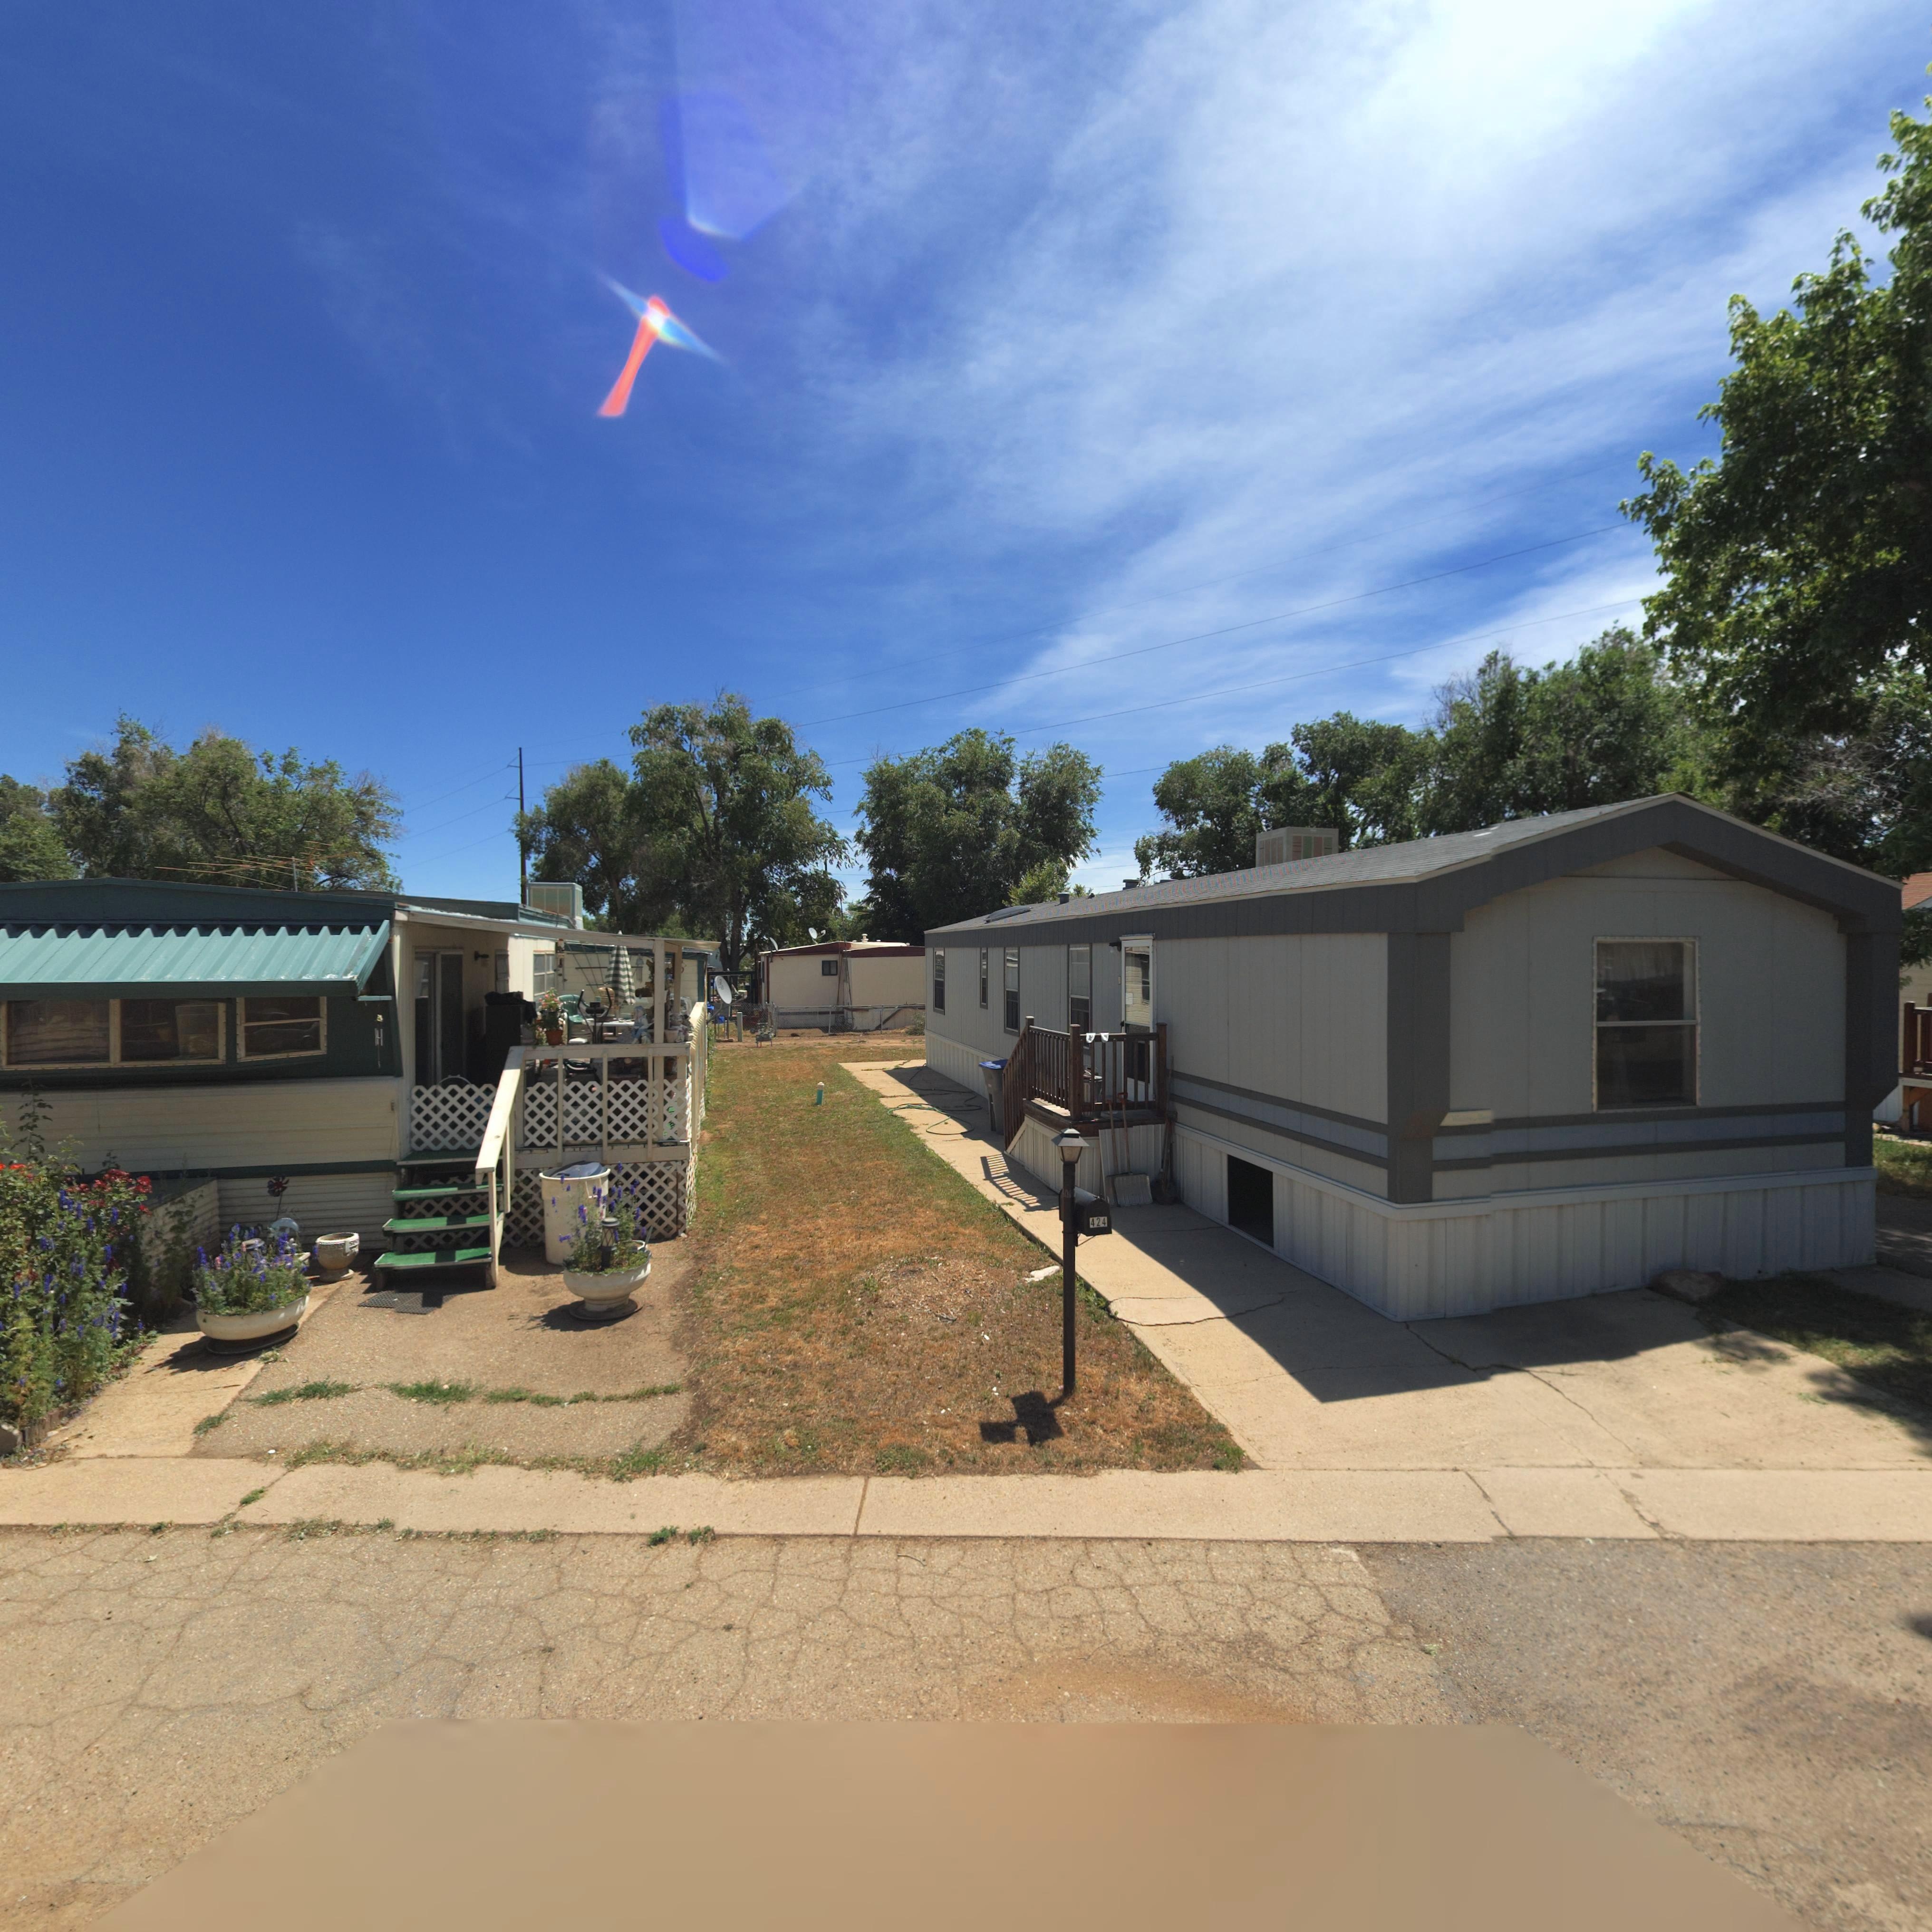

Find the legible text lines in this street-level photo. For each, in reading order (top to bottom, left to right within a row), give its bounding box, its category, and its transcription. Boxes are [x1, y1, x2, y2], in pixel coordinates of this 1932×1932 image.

[1090, 1217, 1106, 1227] StreetNumber: 424